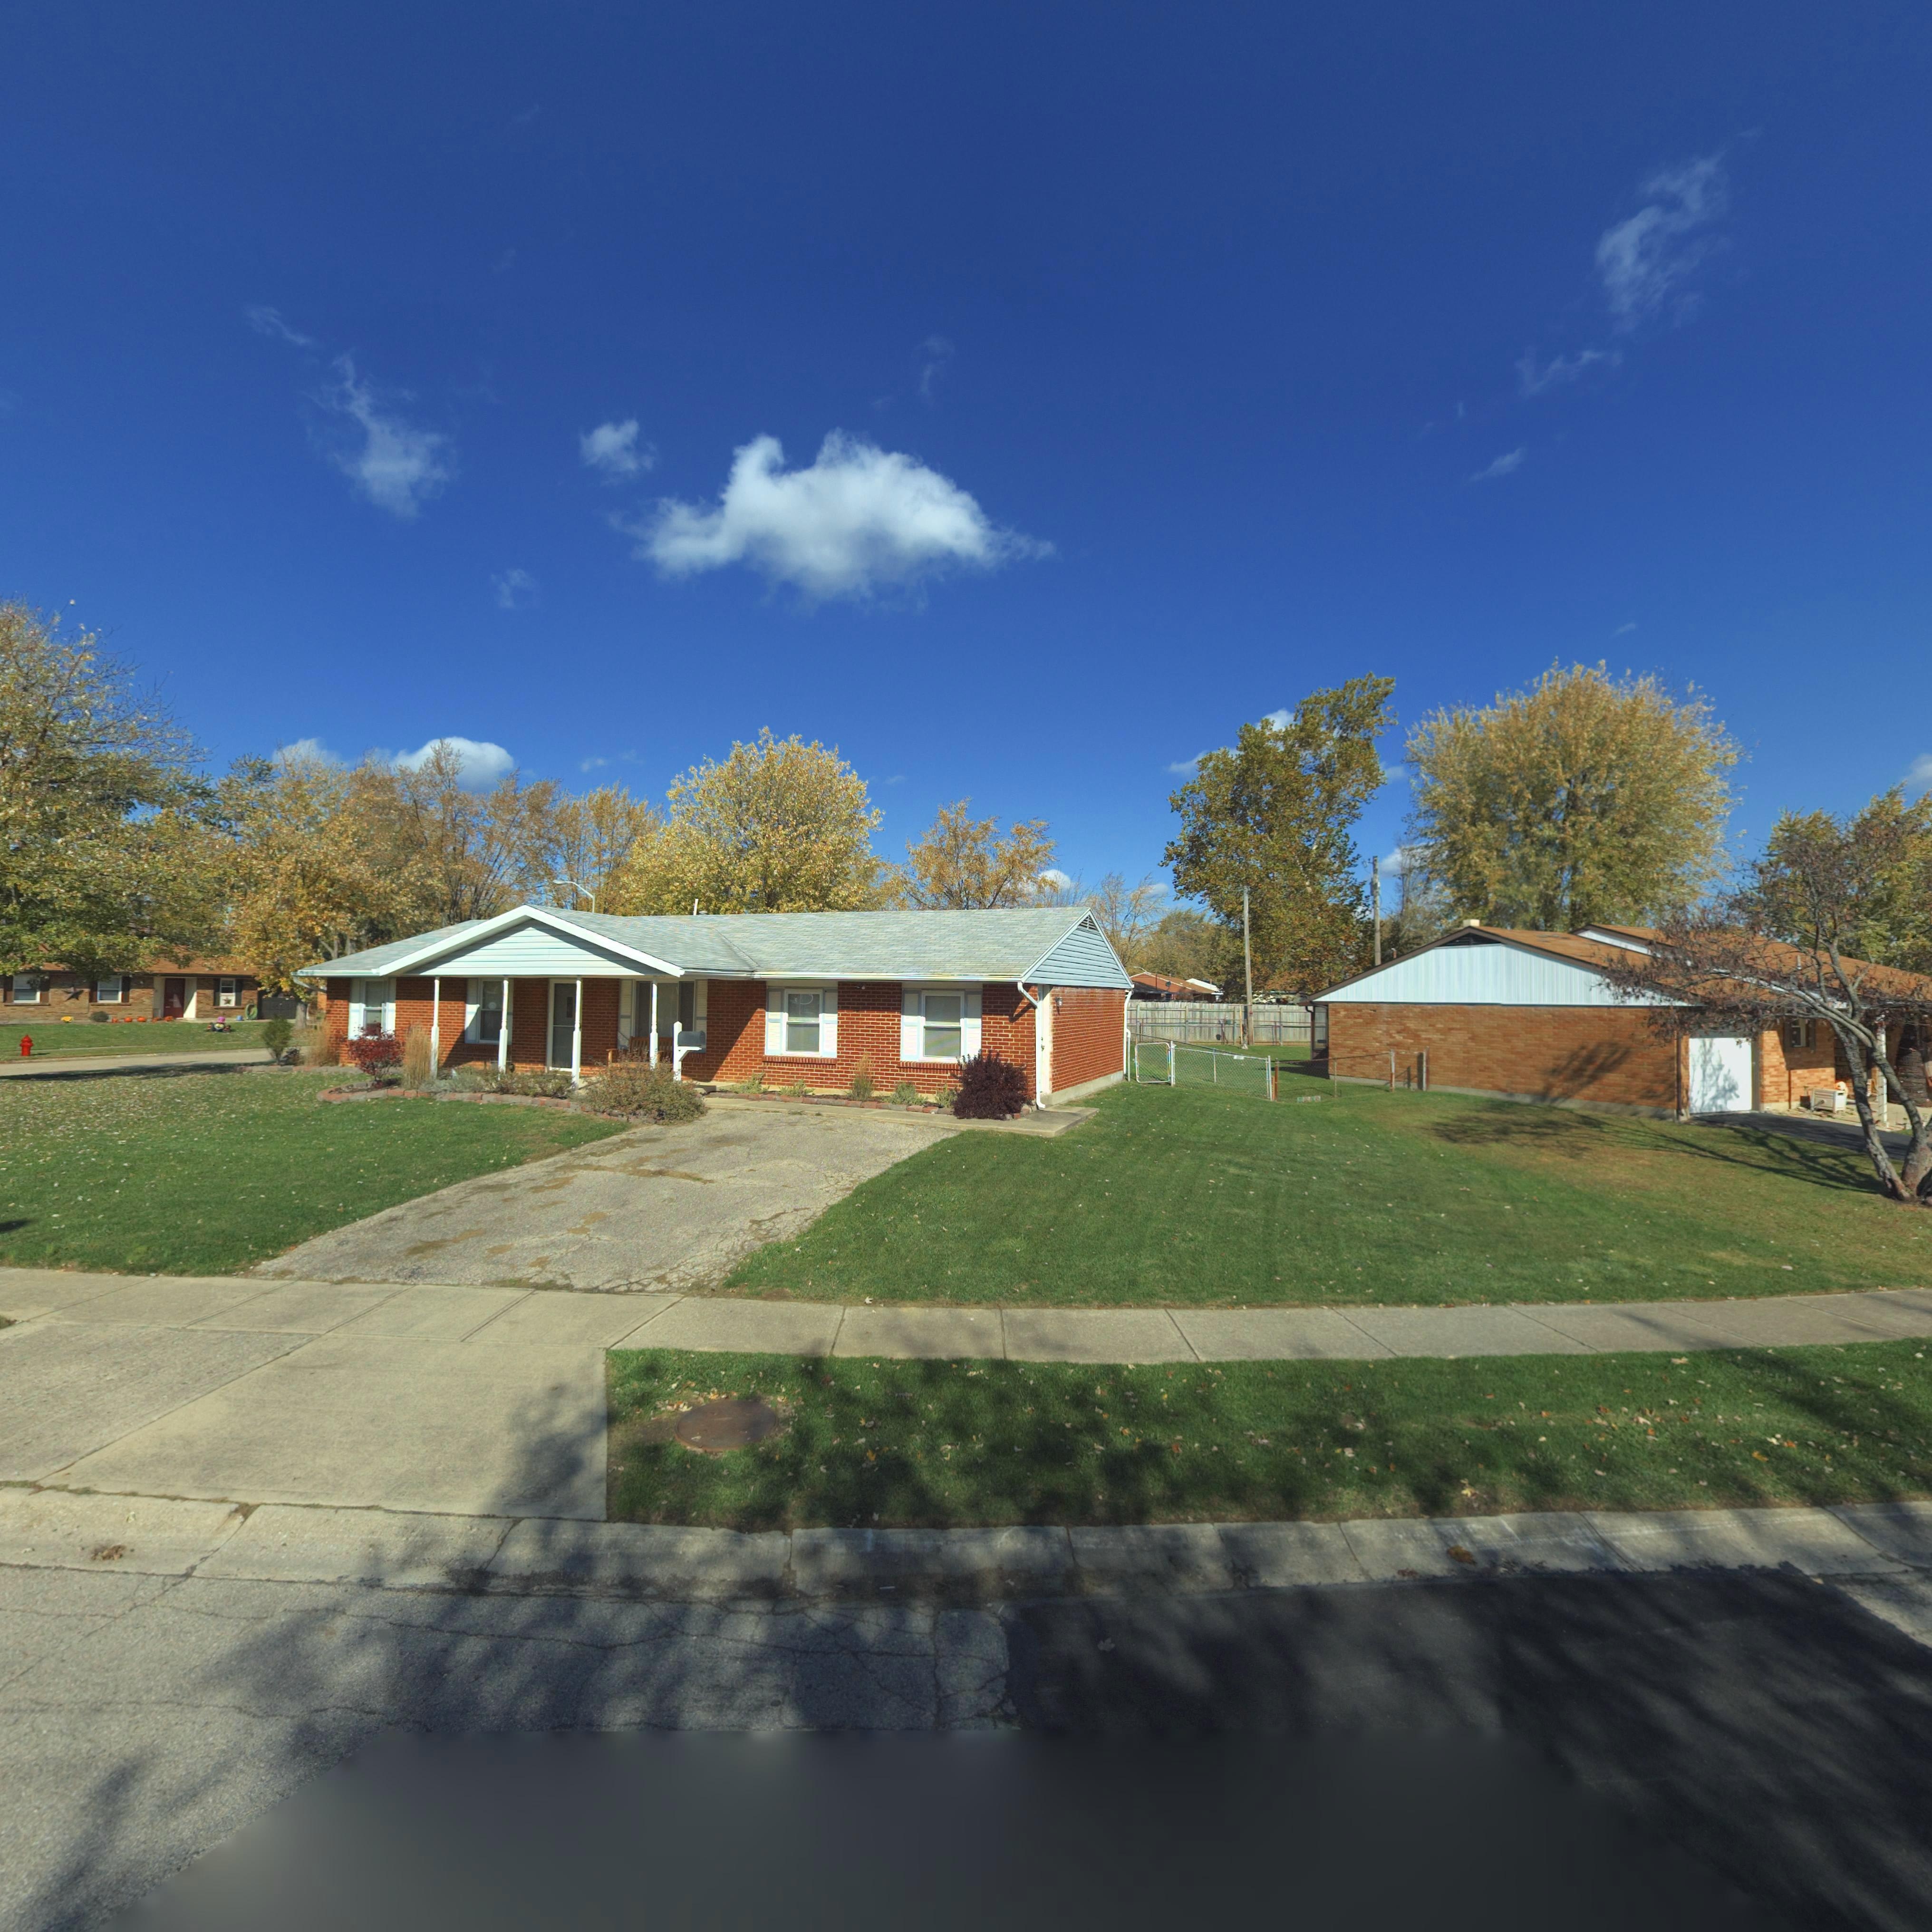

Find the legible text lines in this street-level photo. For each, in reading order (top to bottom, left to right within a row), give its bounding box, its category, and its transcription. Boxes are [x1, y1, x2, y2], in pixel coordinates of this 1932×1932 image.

[617, 1034, 630, 1047] StreetNumber: **0*